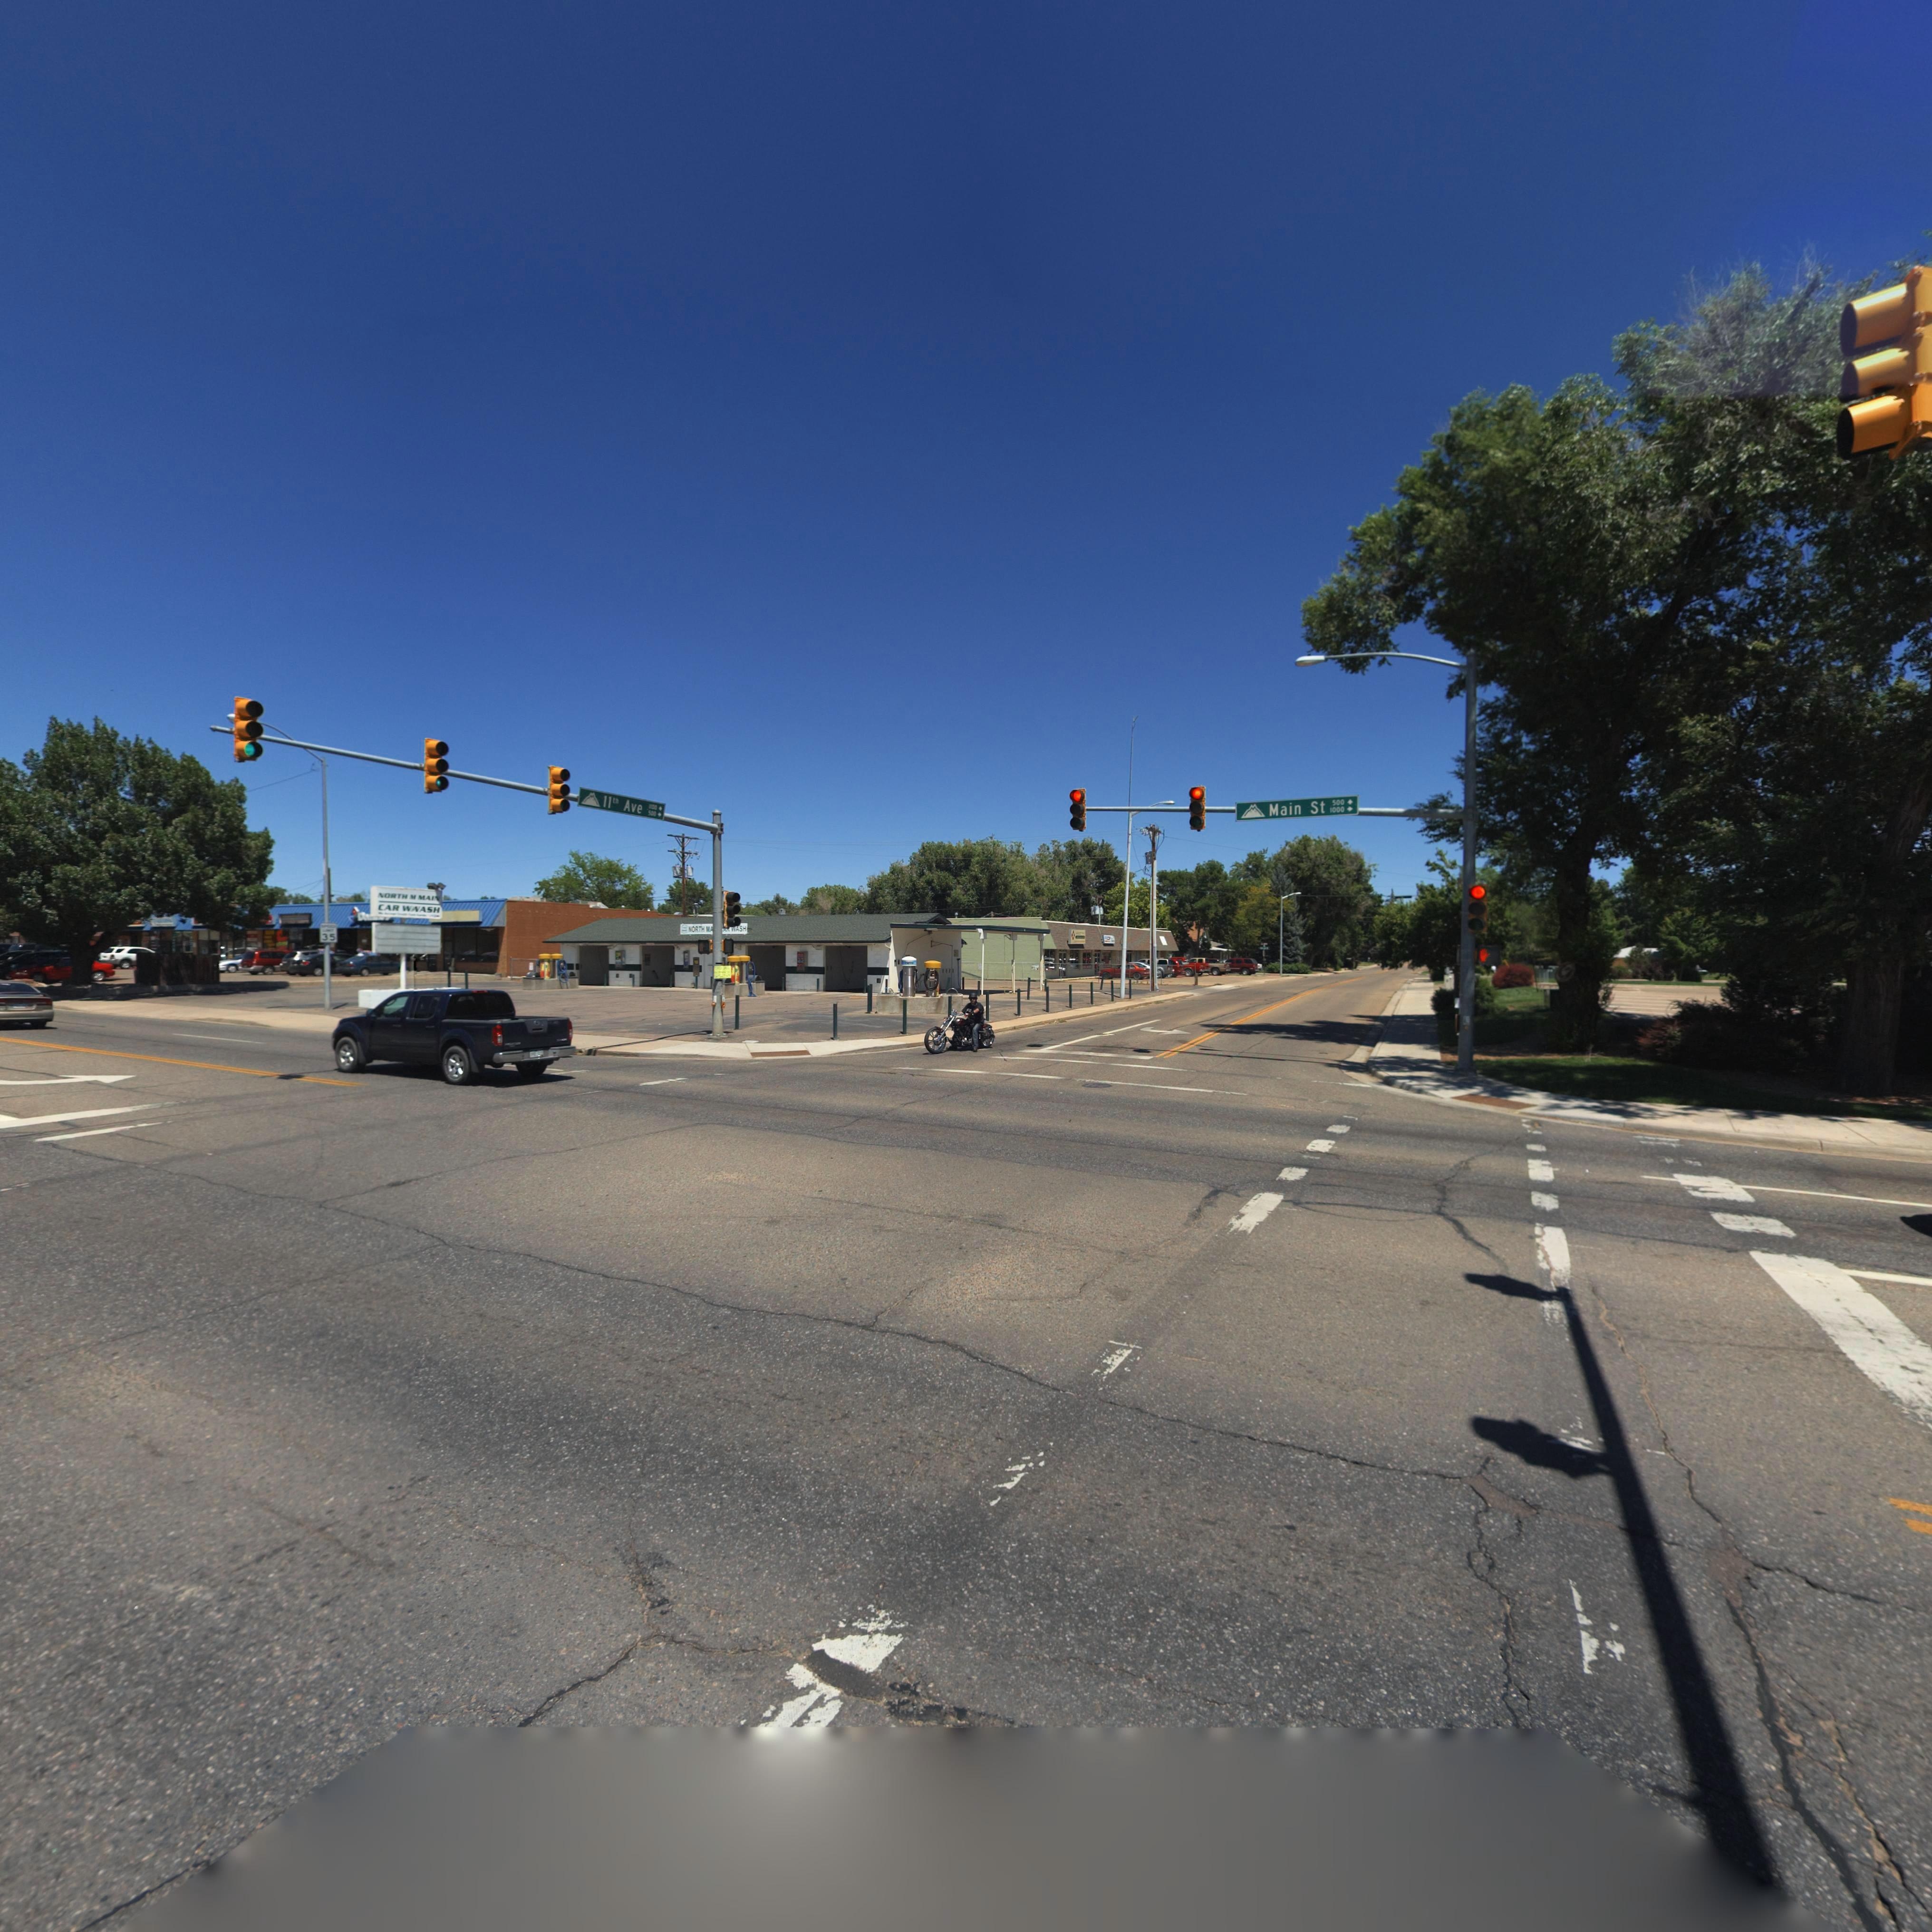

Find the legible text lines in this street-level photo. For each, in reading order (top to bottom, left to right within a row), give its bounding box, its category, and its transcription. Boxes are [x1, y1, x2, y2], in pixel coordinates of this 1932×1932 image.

[602, 794, 642, 814] StreetName: 11th Ave
[648, 803, 657, 810] StreetNumberRange: 1100
[1269, 801, 1325, 816] StreetName: Main St
[1332, 799, 1345, 806] StreetNumberRange: 500
[1329, 806, 1353, 813] StreetNumberRange: 1000 ->
[647, 810, 662, 817] StreetNumberRange: 500 ->
[377, 891, 441, 901] BusinessName: NORTH M MAIN
[378, 903, 440, 913] BusinessName: CAR W*ASH
[357, 911, 369, 922] BusinessName: Do
[688, 926, 746, 932] BusinessName: NORTH M******* WASH
[1075, 931, 1084, 935] BusinessName: GREAT WAY